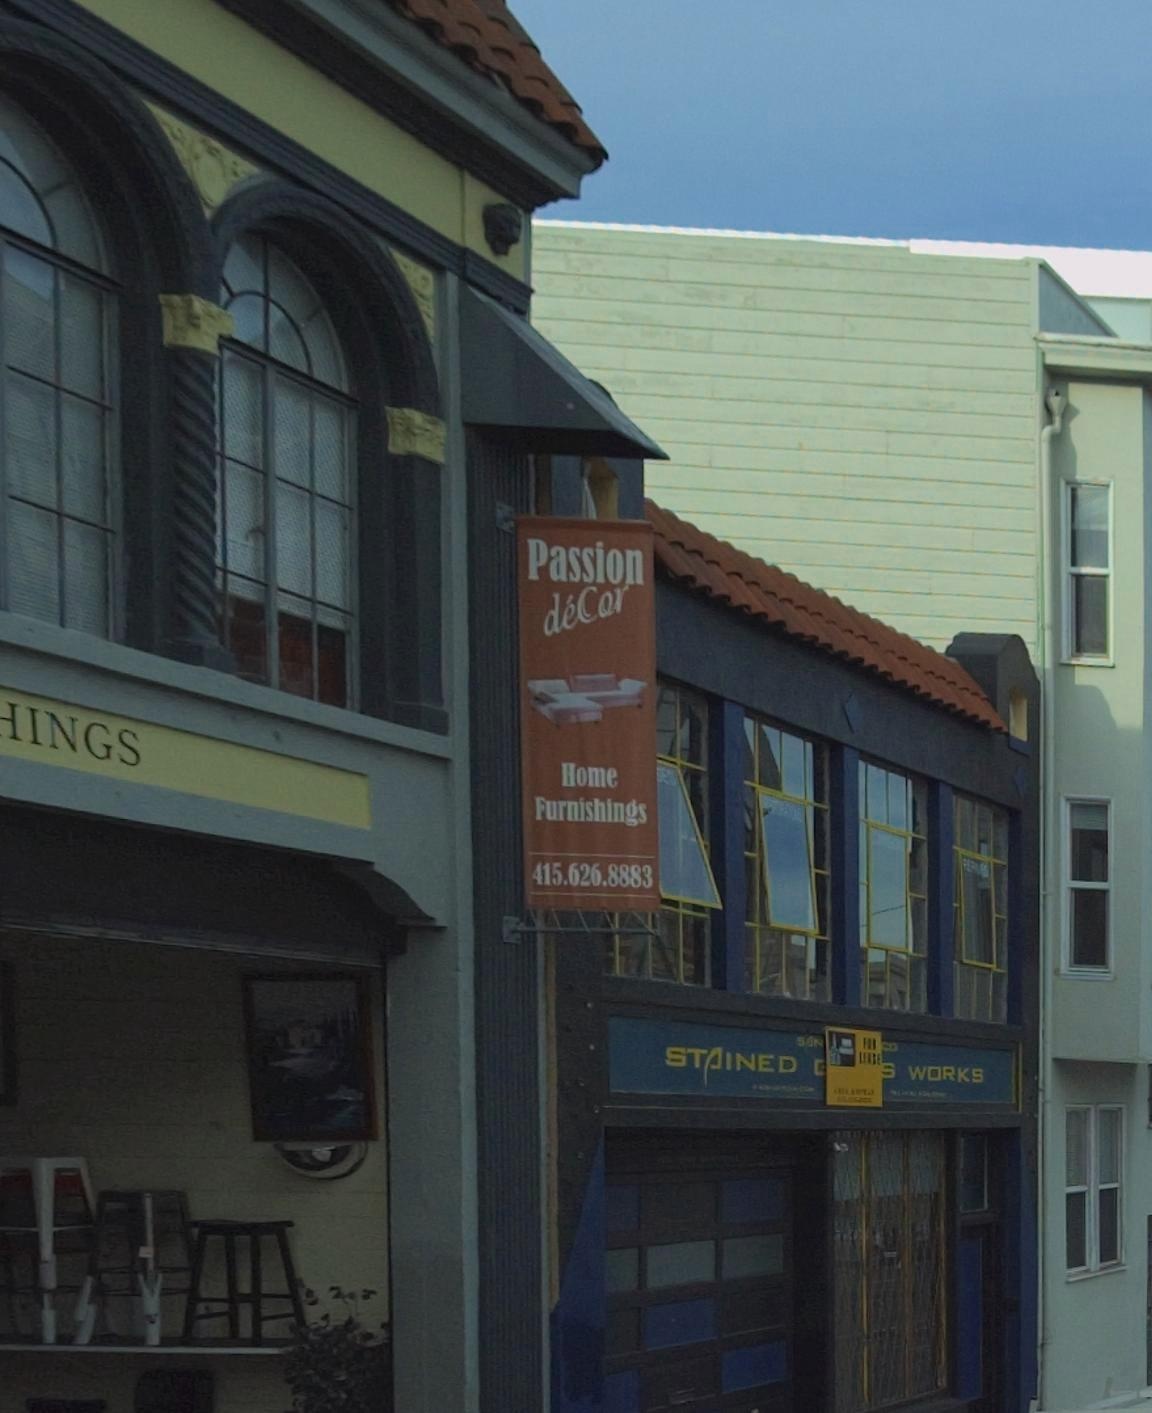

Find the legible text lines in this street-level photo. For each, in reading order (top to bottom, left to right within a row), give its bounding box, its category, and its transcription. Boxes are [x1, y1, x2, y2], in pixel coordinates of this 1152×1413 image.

[523, 535, 648, 588] BusinessName: Passion
[538, 582, 634, 643] BusinessName: deCor
[21, 699, 146, 772] BusinessName: INGS
[557, 757, 621, 791] BusinessName: Home
[530, 791, 650, 831] BusinessName: Furnishings
[528, 857, 657, 892] None: 415.626.8883
[660, 1039, 800, 1093] BusinessName: STAINED
[860, 1033, 879, 1053] None: FOR
[857, 1049, 883, 1068] None: LEASE
[903, 1061, 987, 1087] BusinessName: WORKS